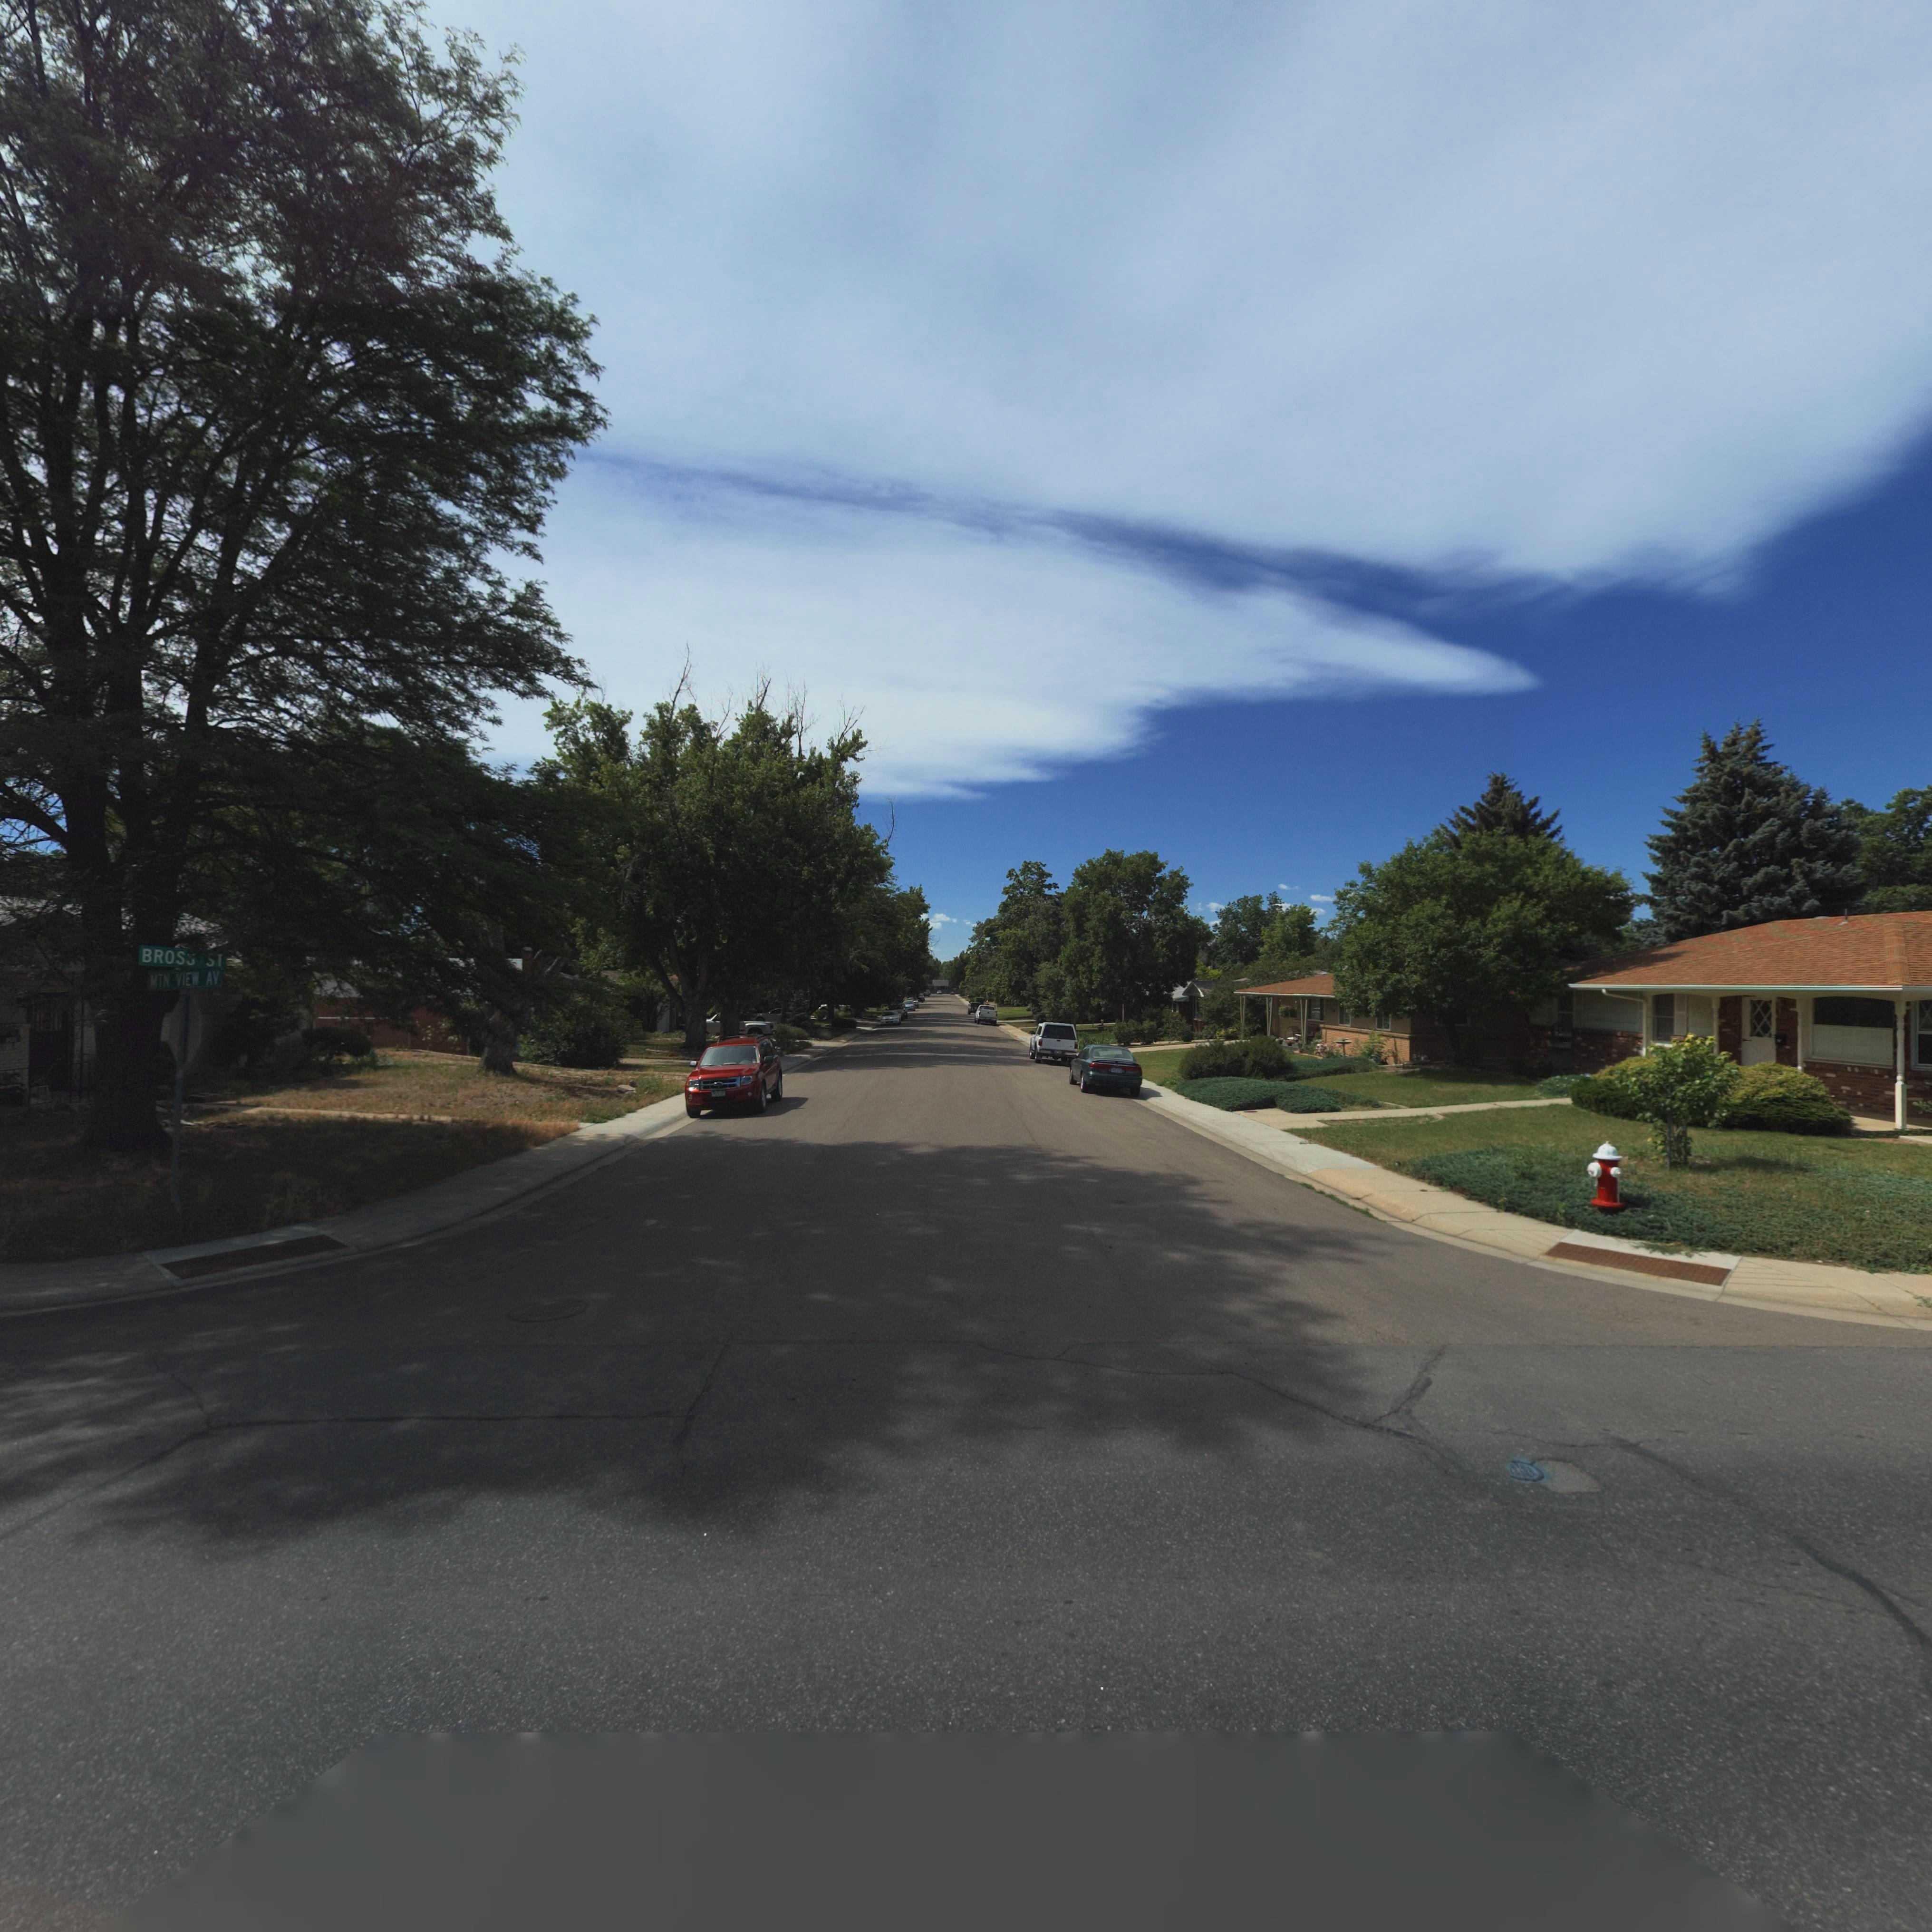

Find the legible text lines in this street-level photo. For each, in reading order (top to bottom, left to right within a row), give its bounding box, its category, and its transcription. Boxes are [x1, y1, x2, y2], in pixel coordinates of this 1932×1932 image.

[141, 947, 223, 967] StreetName: BROSS ST
[149, 970, 221, 988] StreetName: MTN VIEW AV